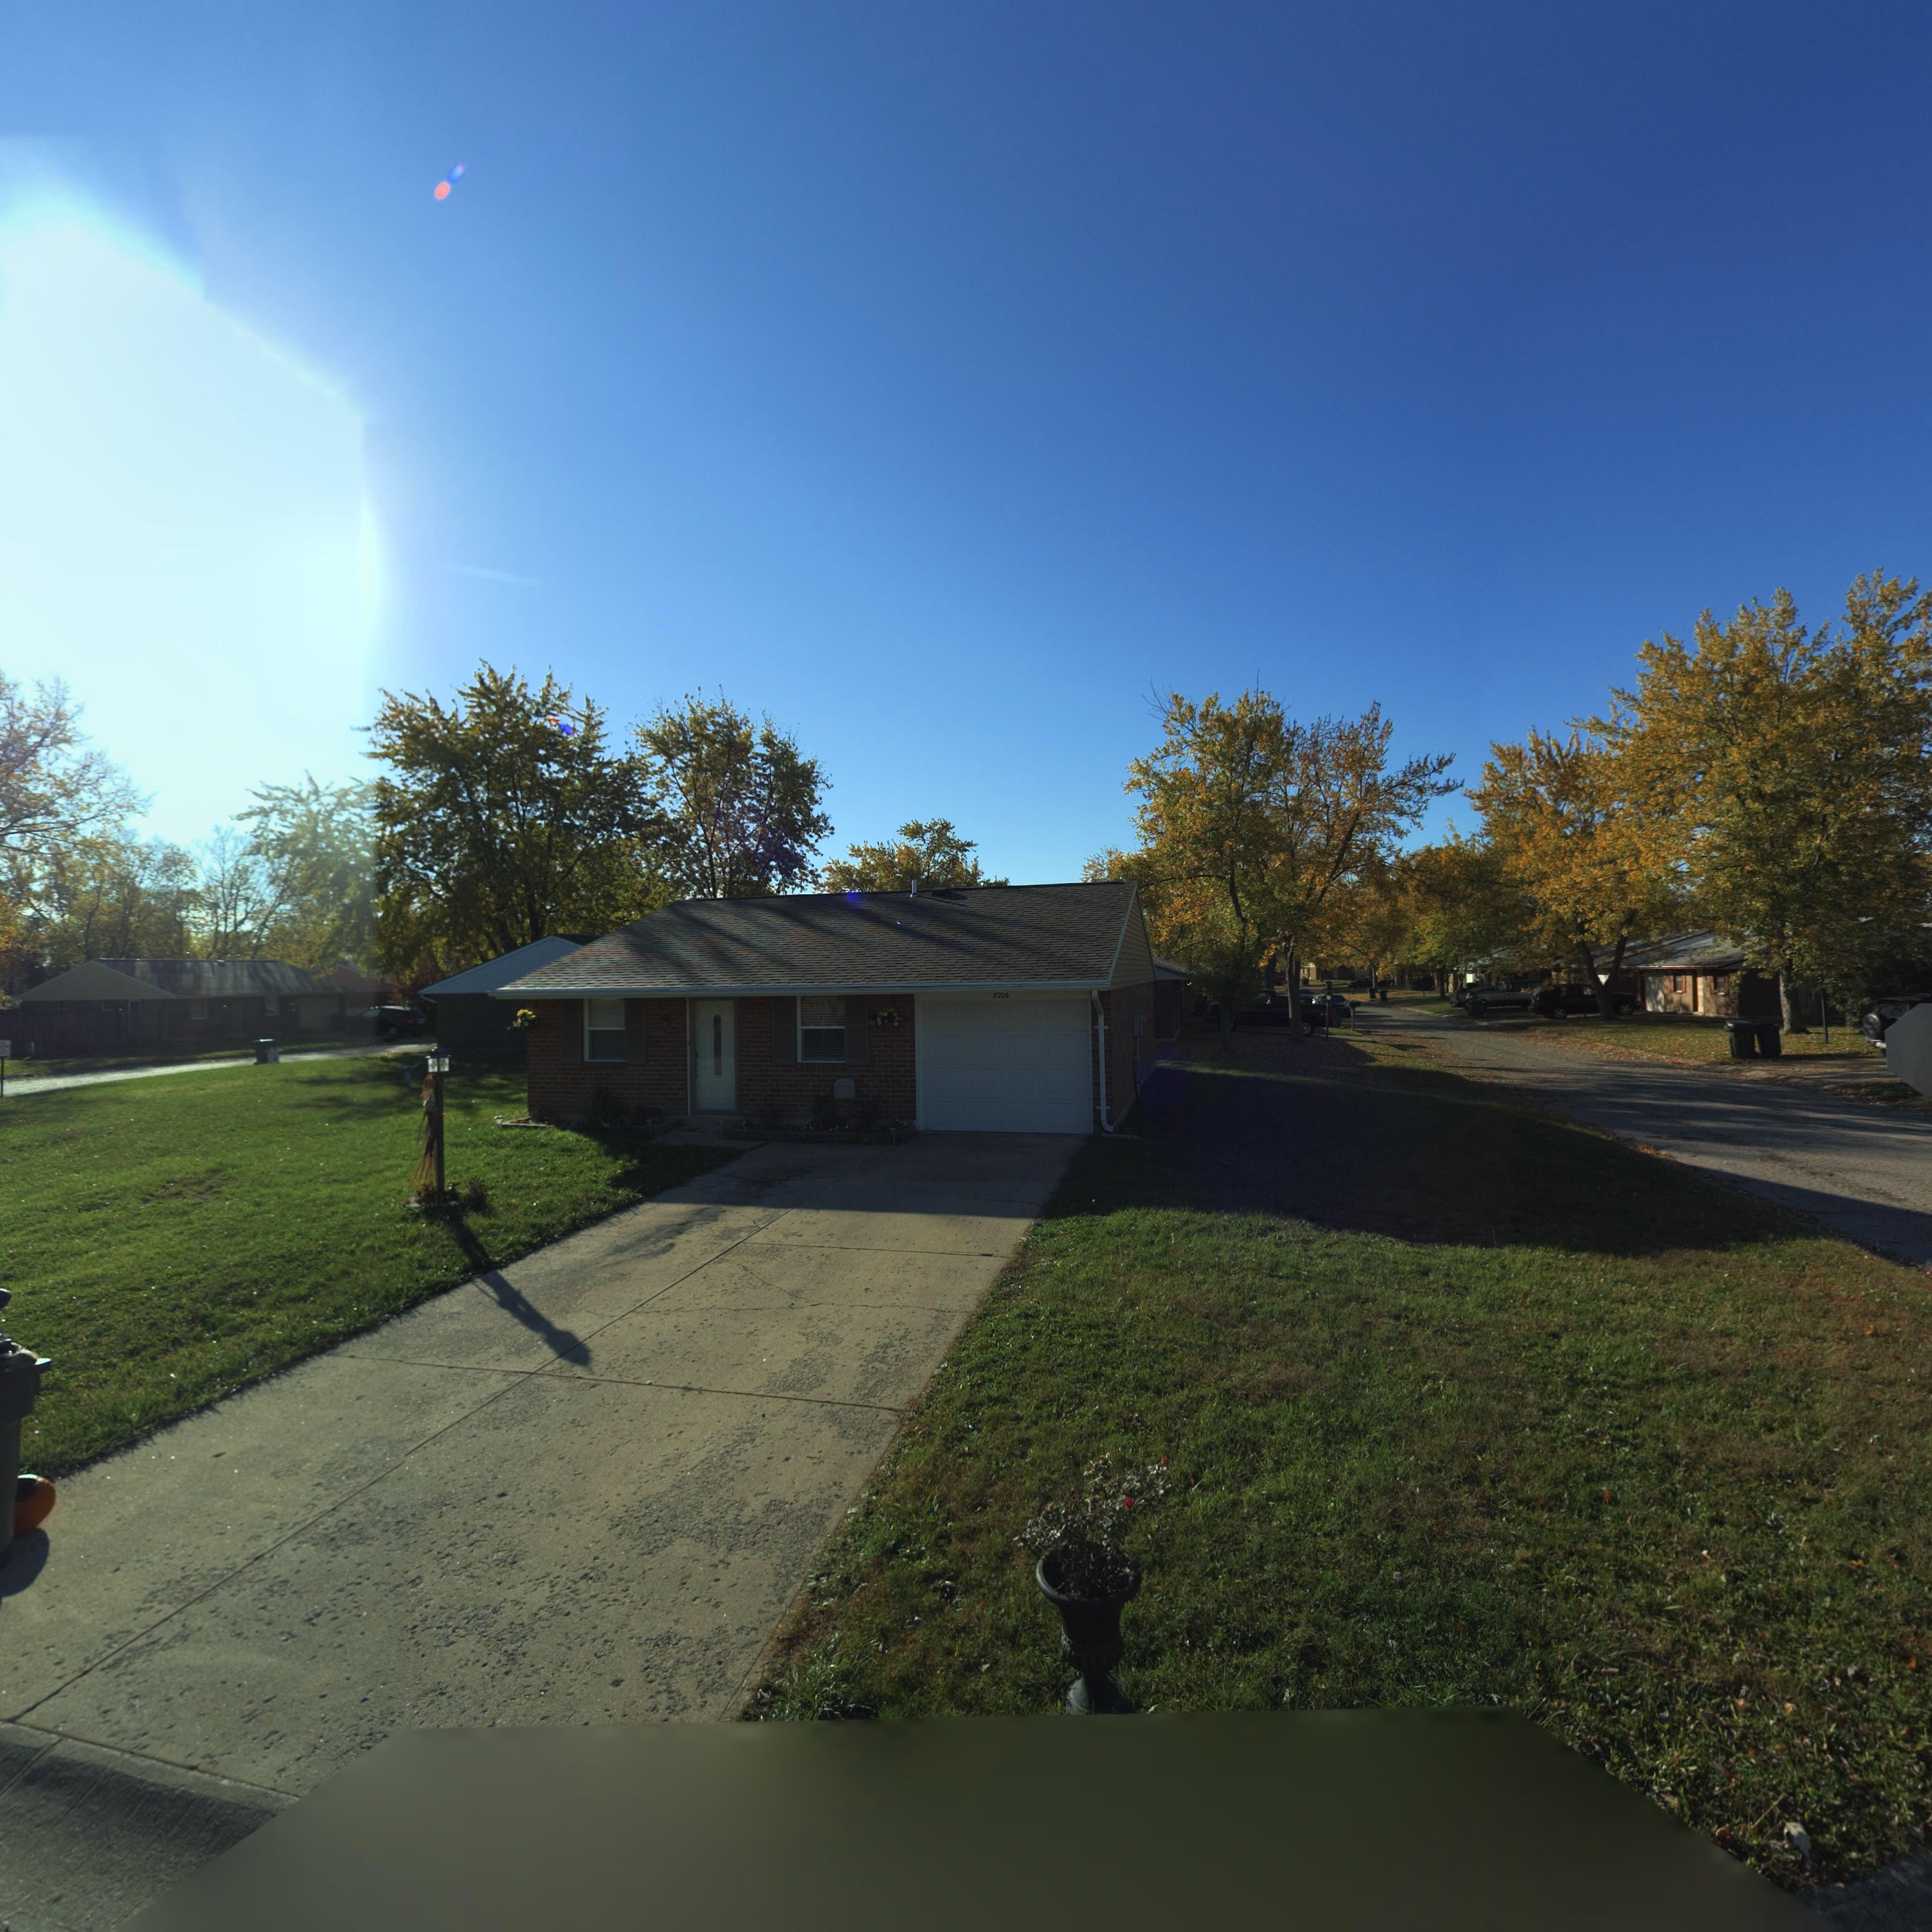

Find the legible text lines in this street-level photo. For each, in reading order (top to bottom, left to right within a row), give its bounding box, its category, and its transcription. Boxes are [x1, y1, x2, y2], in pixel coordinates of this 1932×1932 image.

[992, 992, 1010, 1000] StreetNumber: 8206